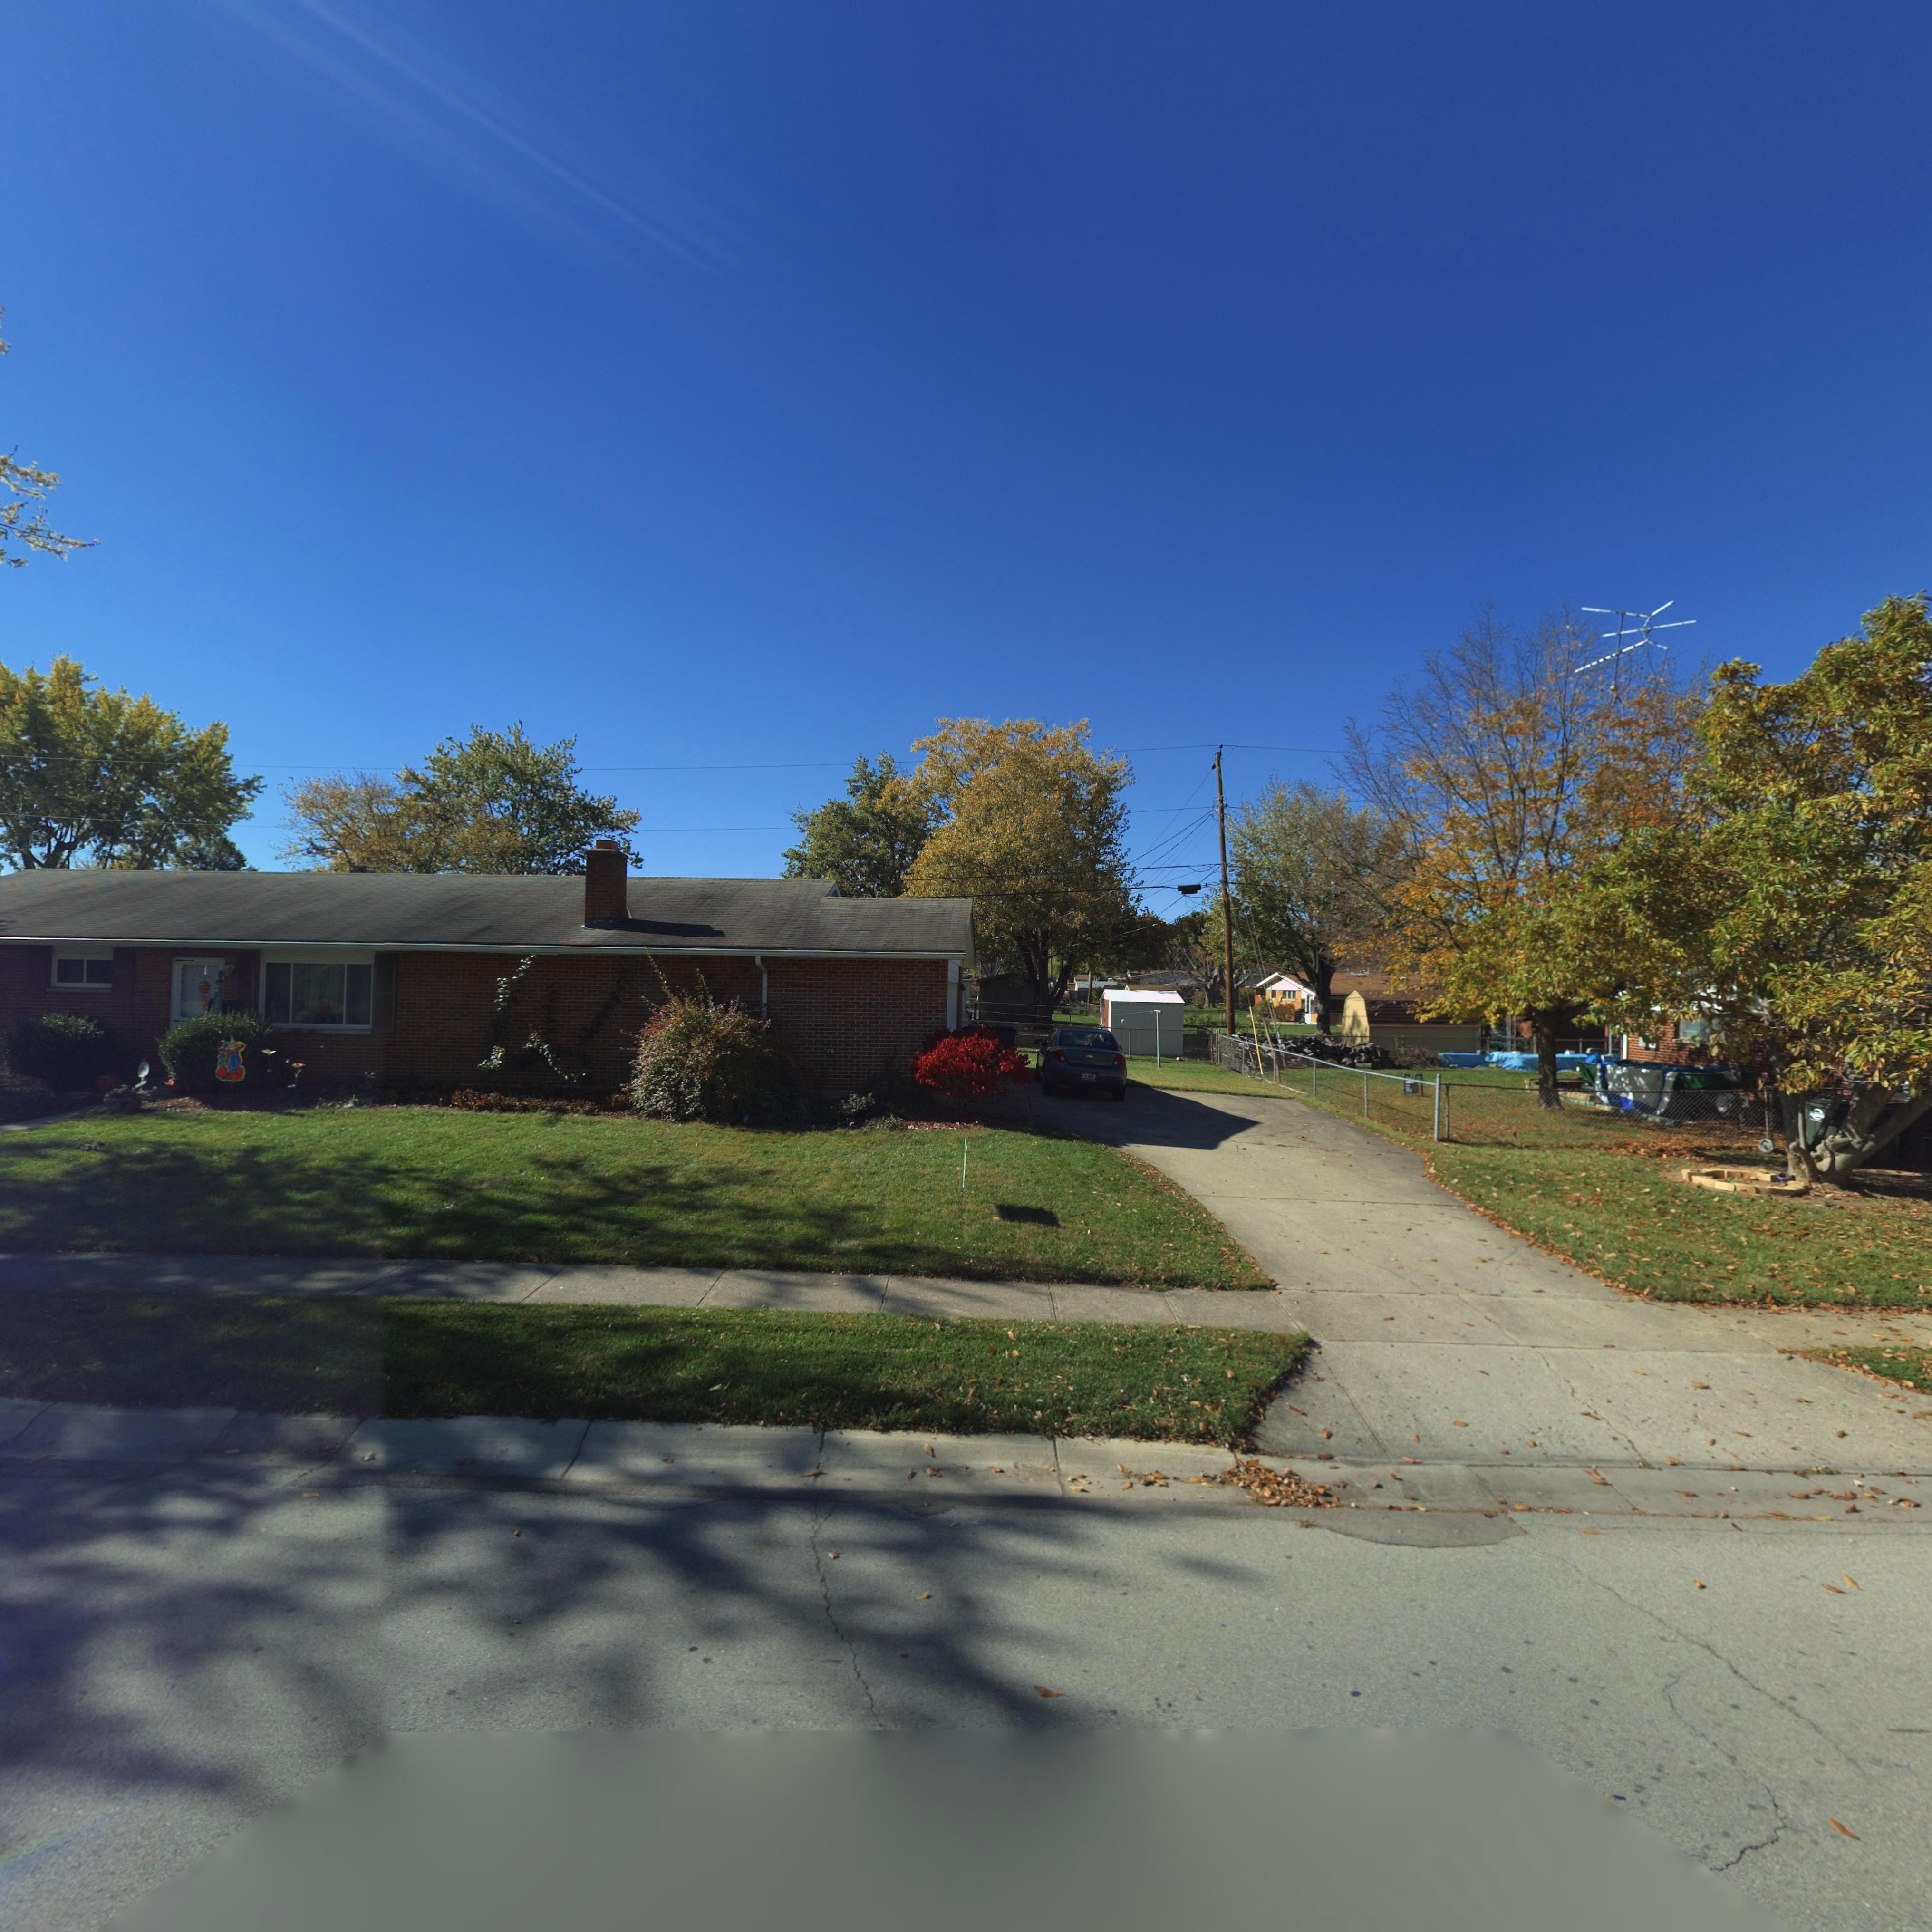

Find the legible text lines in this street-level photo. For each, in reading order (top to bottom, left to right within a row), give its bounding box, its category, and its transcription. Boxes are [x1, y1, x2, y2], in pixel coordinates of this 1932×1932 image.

[213, 996, 221, 1009] StreetNumber: 70